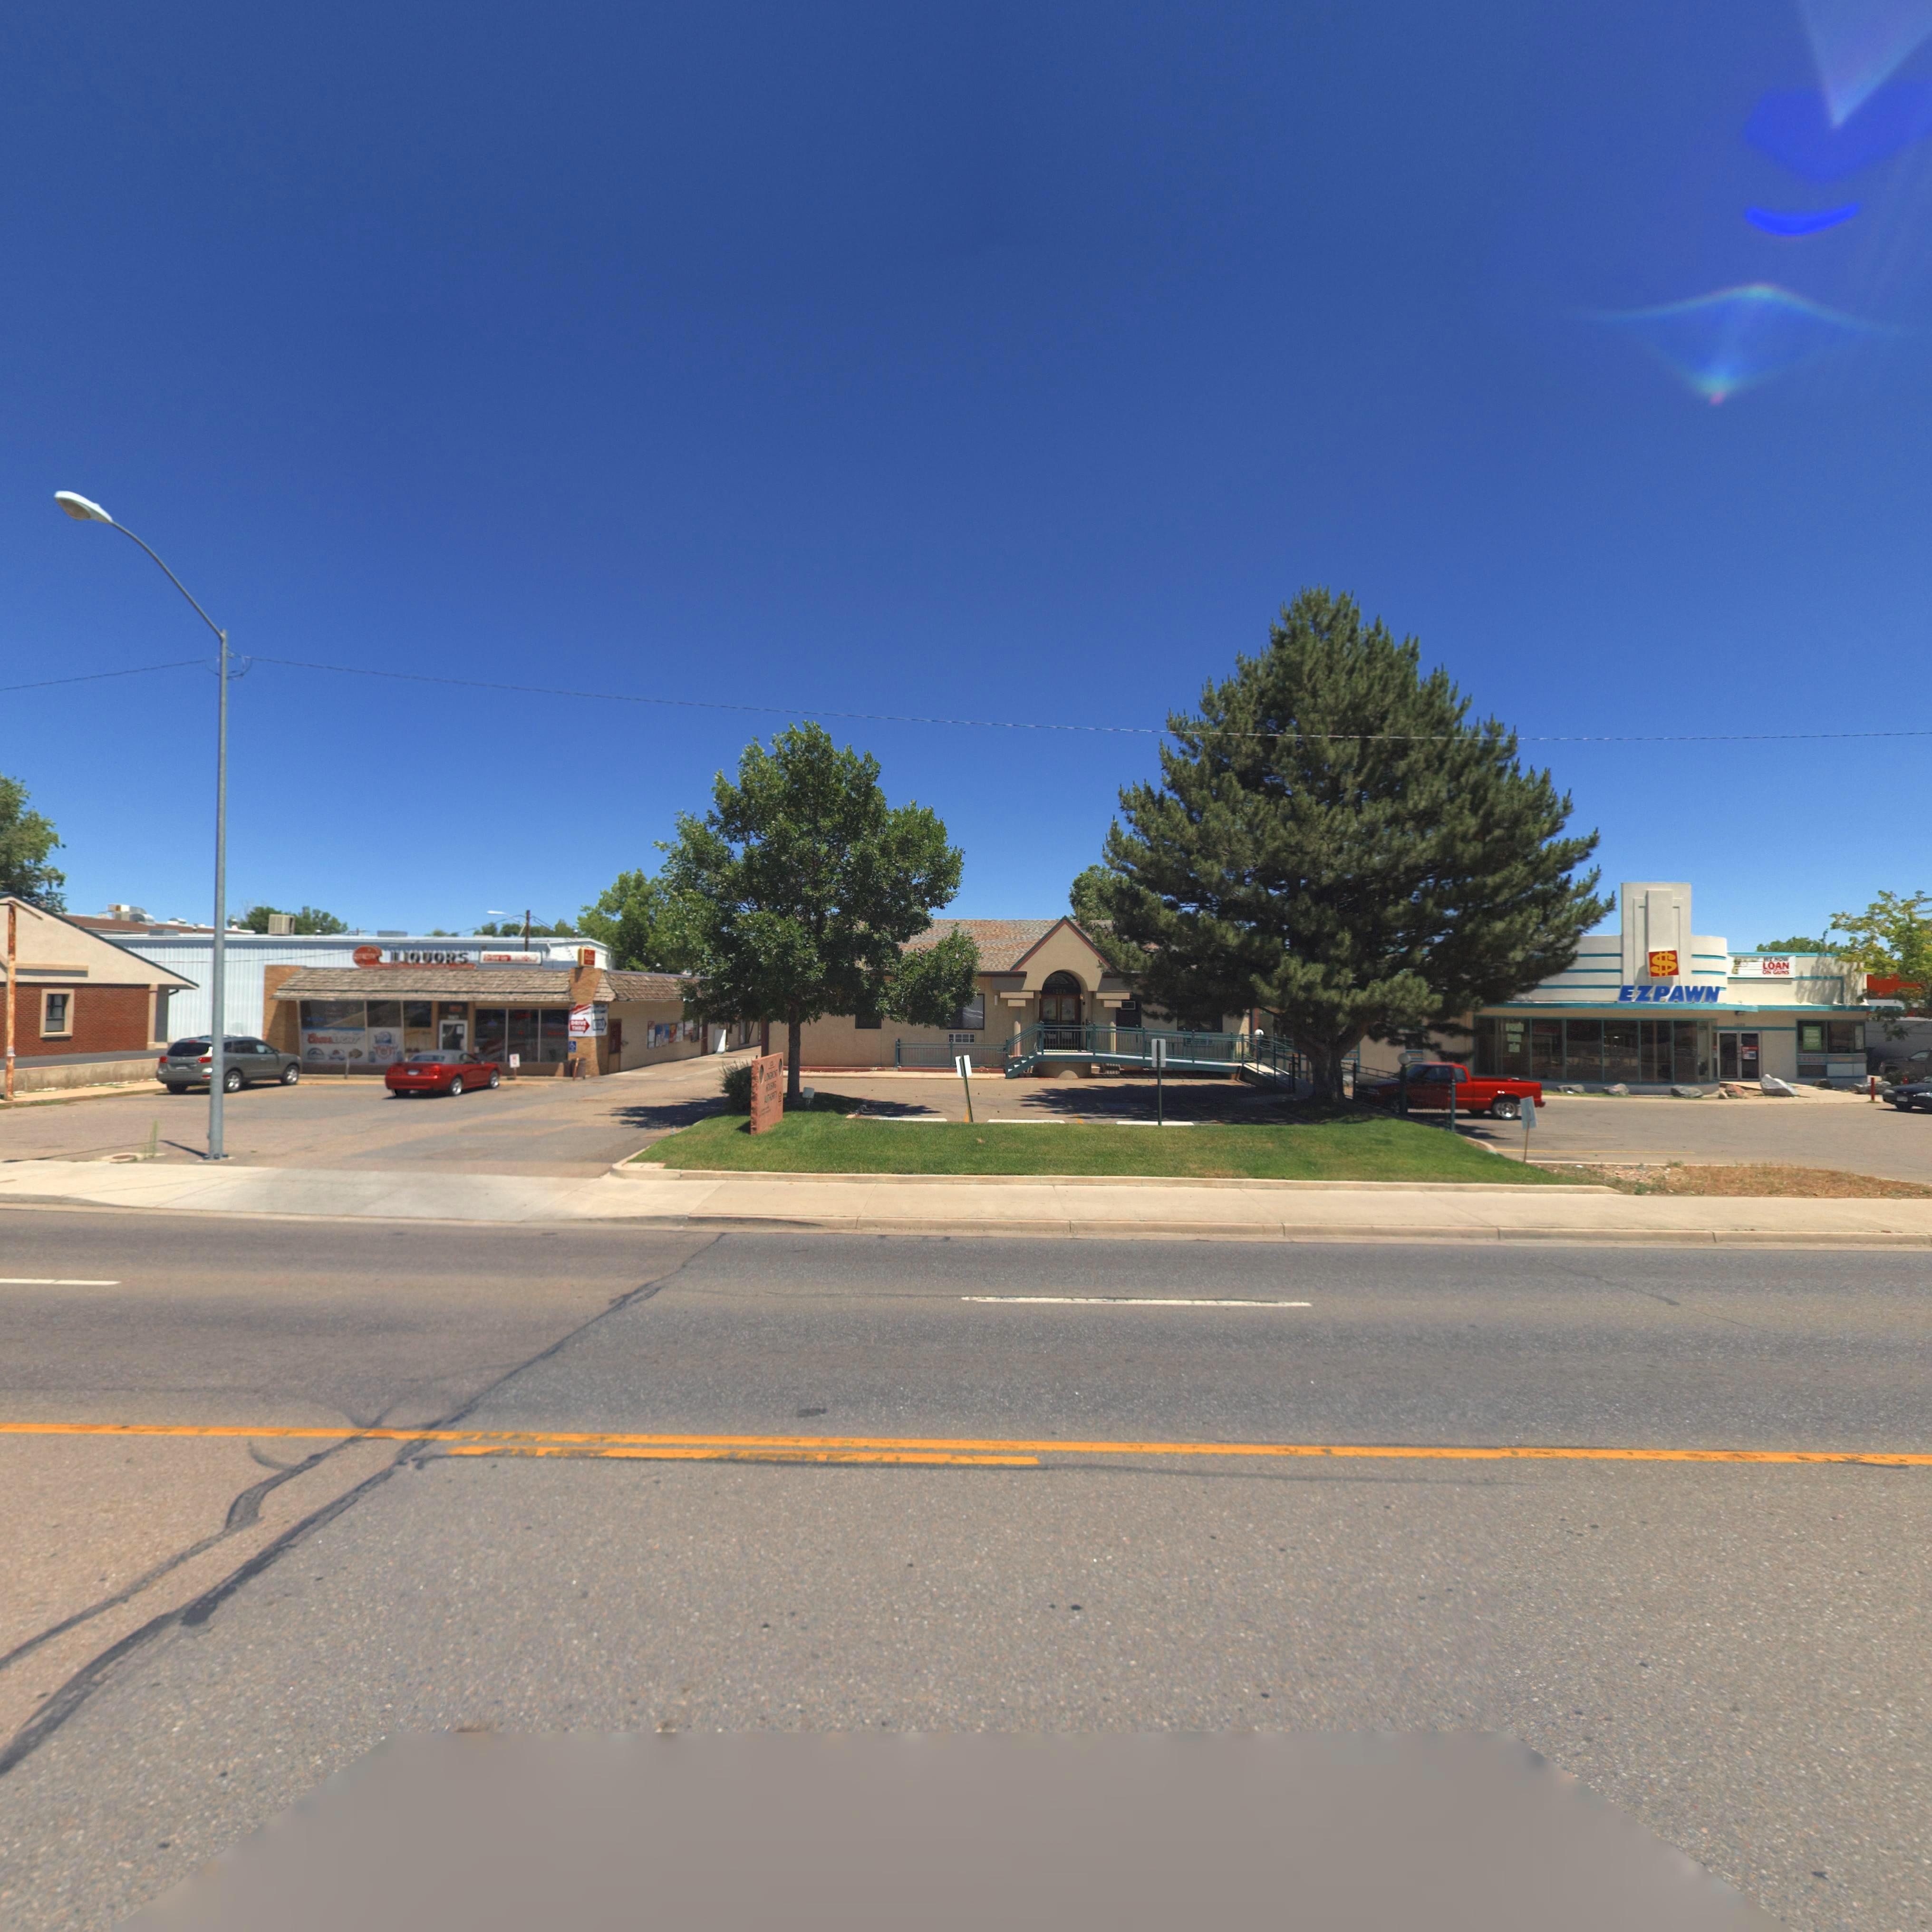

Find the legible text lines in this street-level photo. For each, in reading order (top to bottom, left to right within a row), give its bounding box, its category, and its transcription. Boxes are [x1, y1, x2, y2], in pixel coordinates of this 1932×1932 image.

[352, 952, 380, 960] BusinessName: QUALITY
[389, 949, 470, 964] BusinessName: LIQUORS
[1053, 988, 1066, 994] StreetNumber: 122*
[1617, 984, 1720, 1003] BusinessName: EZPAWN
[1733, 1022, 1746, 1027] StreetNumber: 122*
[764, 1069, 778, 1082] BusinessName: LONGMONT
[764, 1080, 776, 1093] BusinessName: HOUSING
[763, 1090, 777, 1103] BusinessName: AUTHORITY